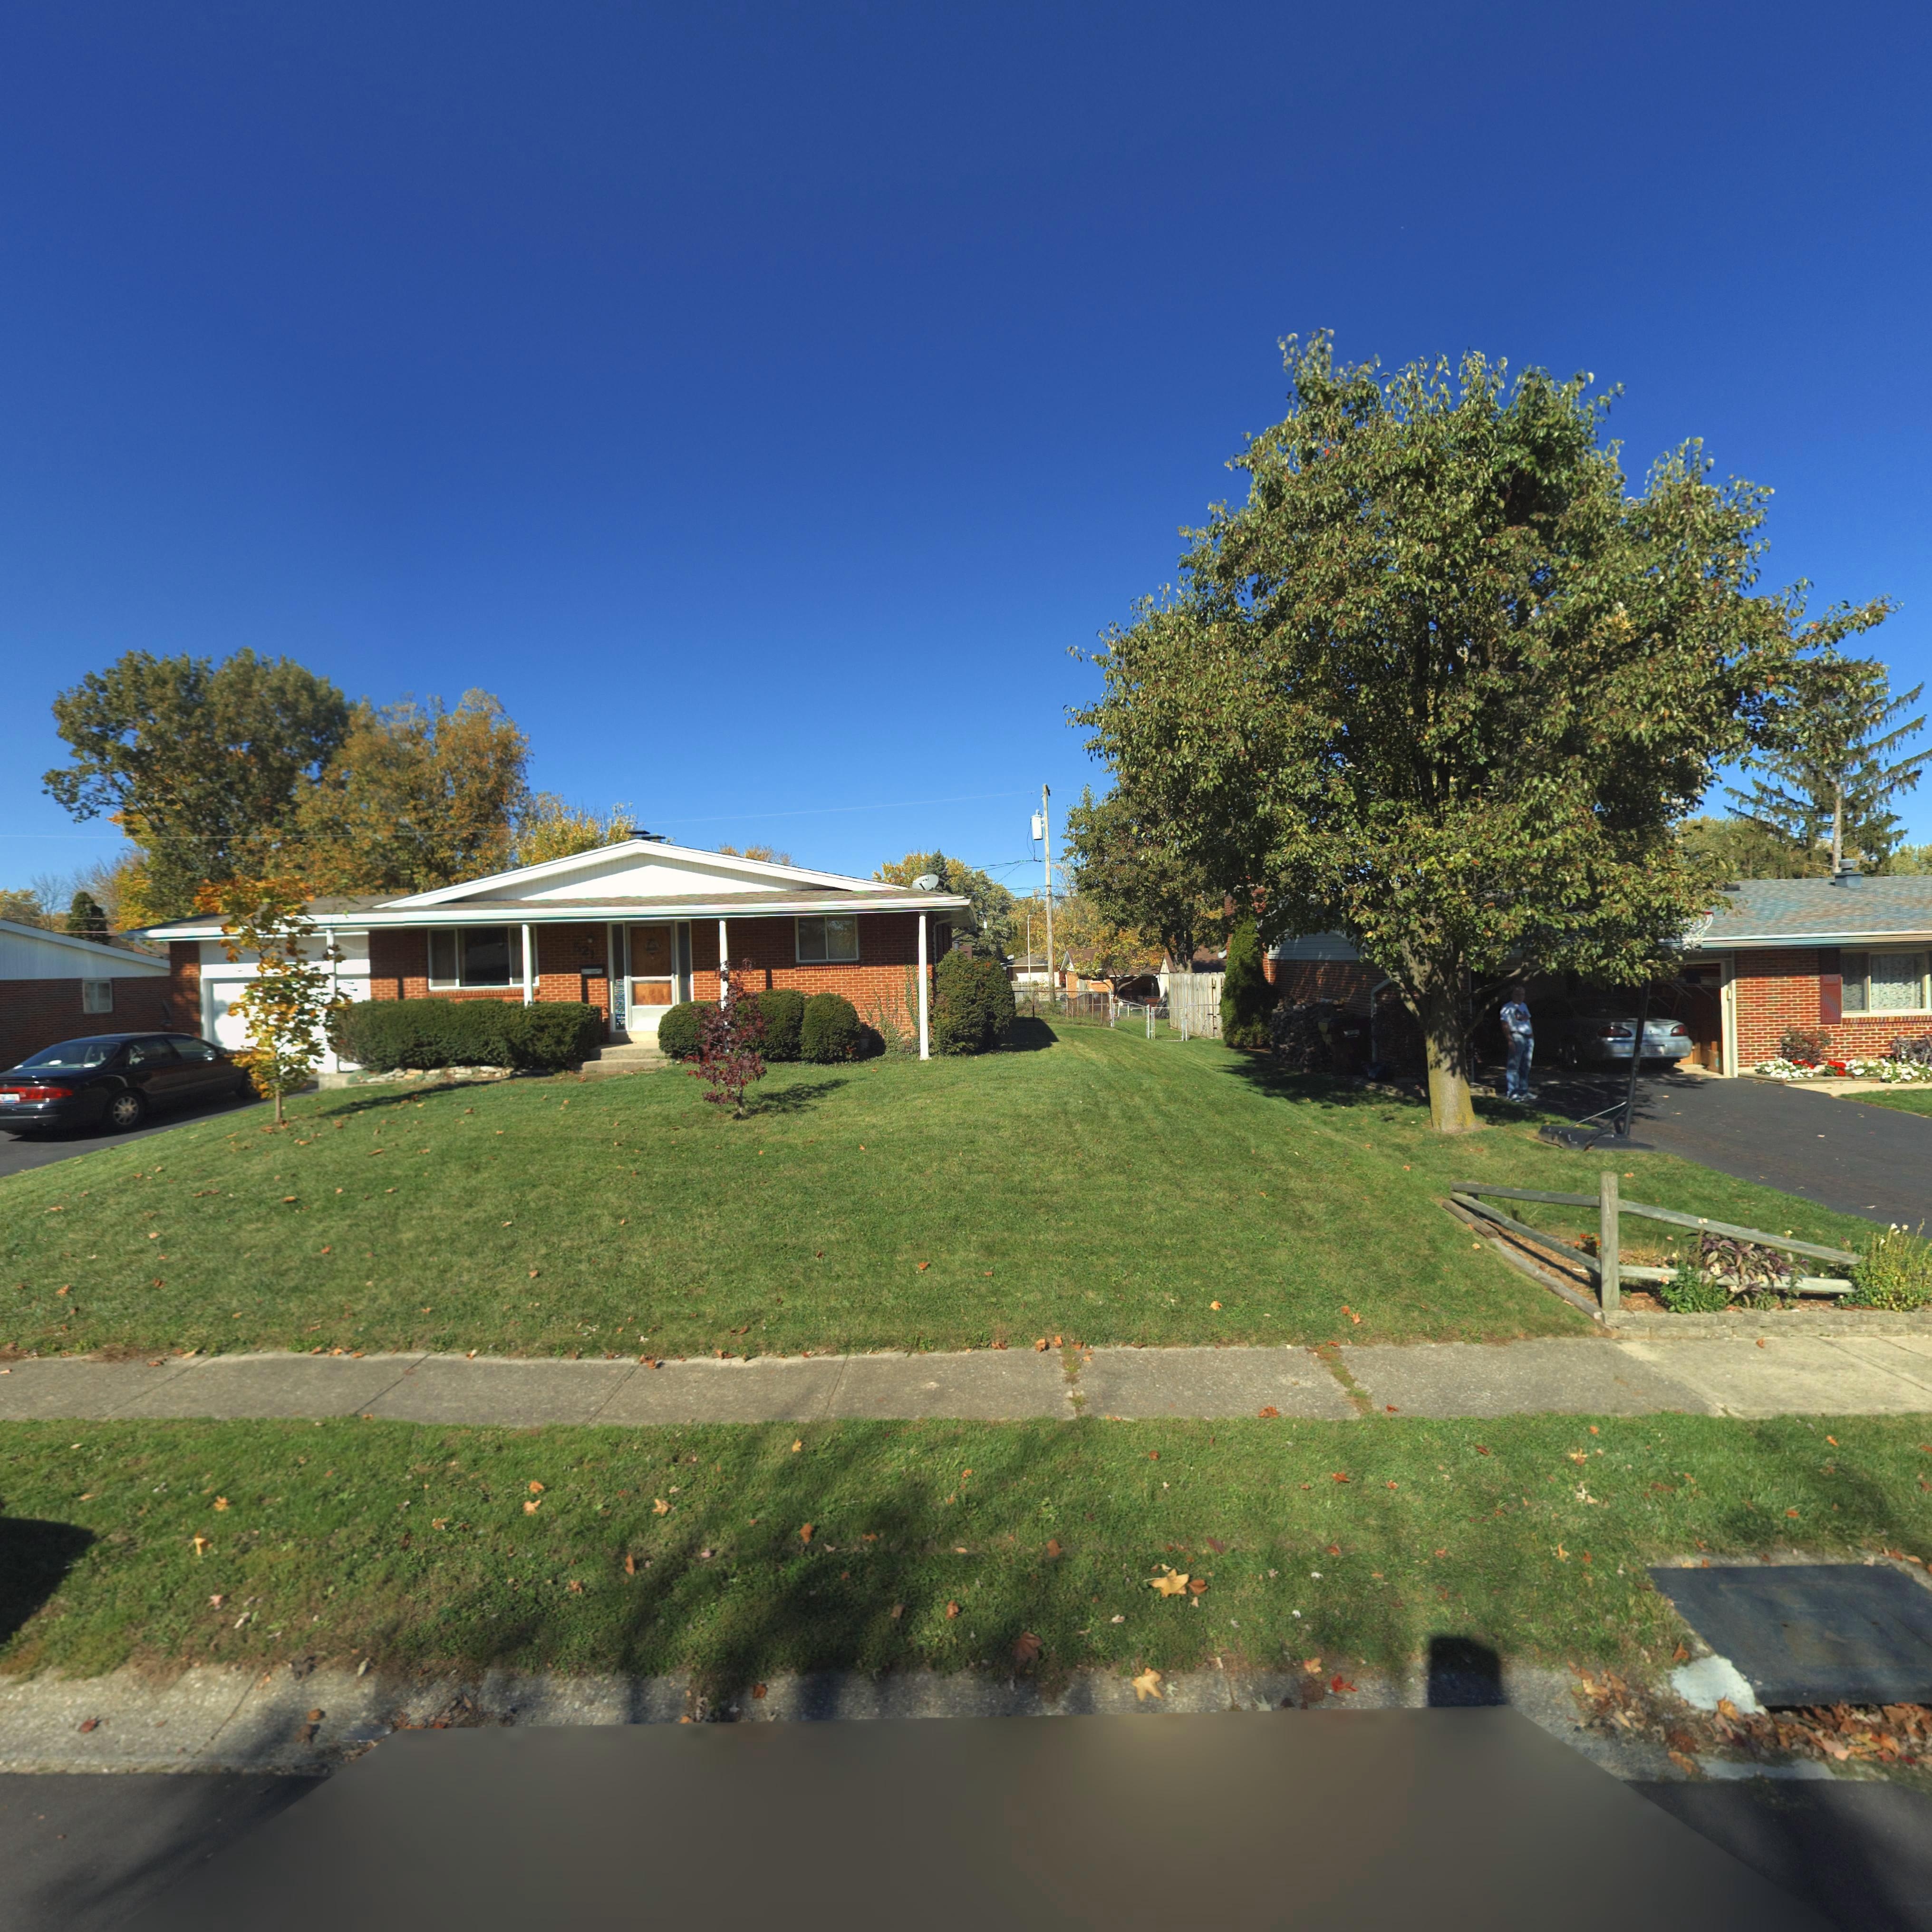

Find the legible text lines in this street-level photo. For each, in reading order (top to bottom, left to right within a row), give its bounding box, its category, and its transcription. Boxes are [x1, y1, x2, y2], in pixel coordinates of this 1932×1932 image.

[572, 941, 595, 960] StreetNumber: 521